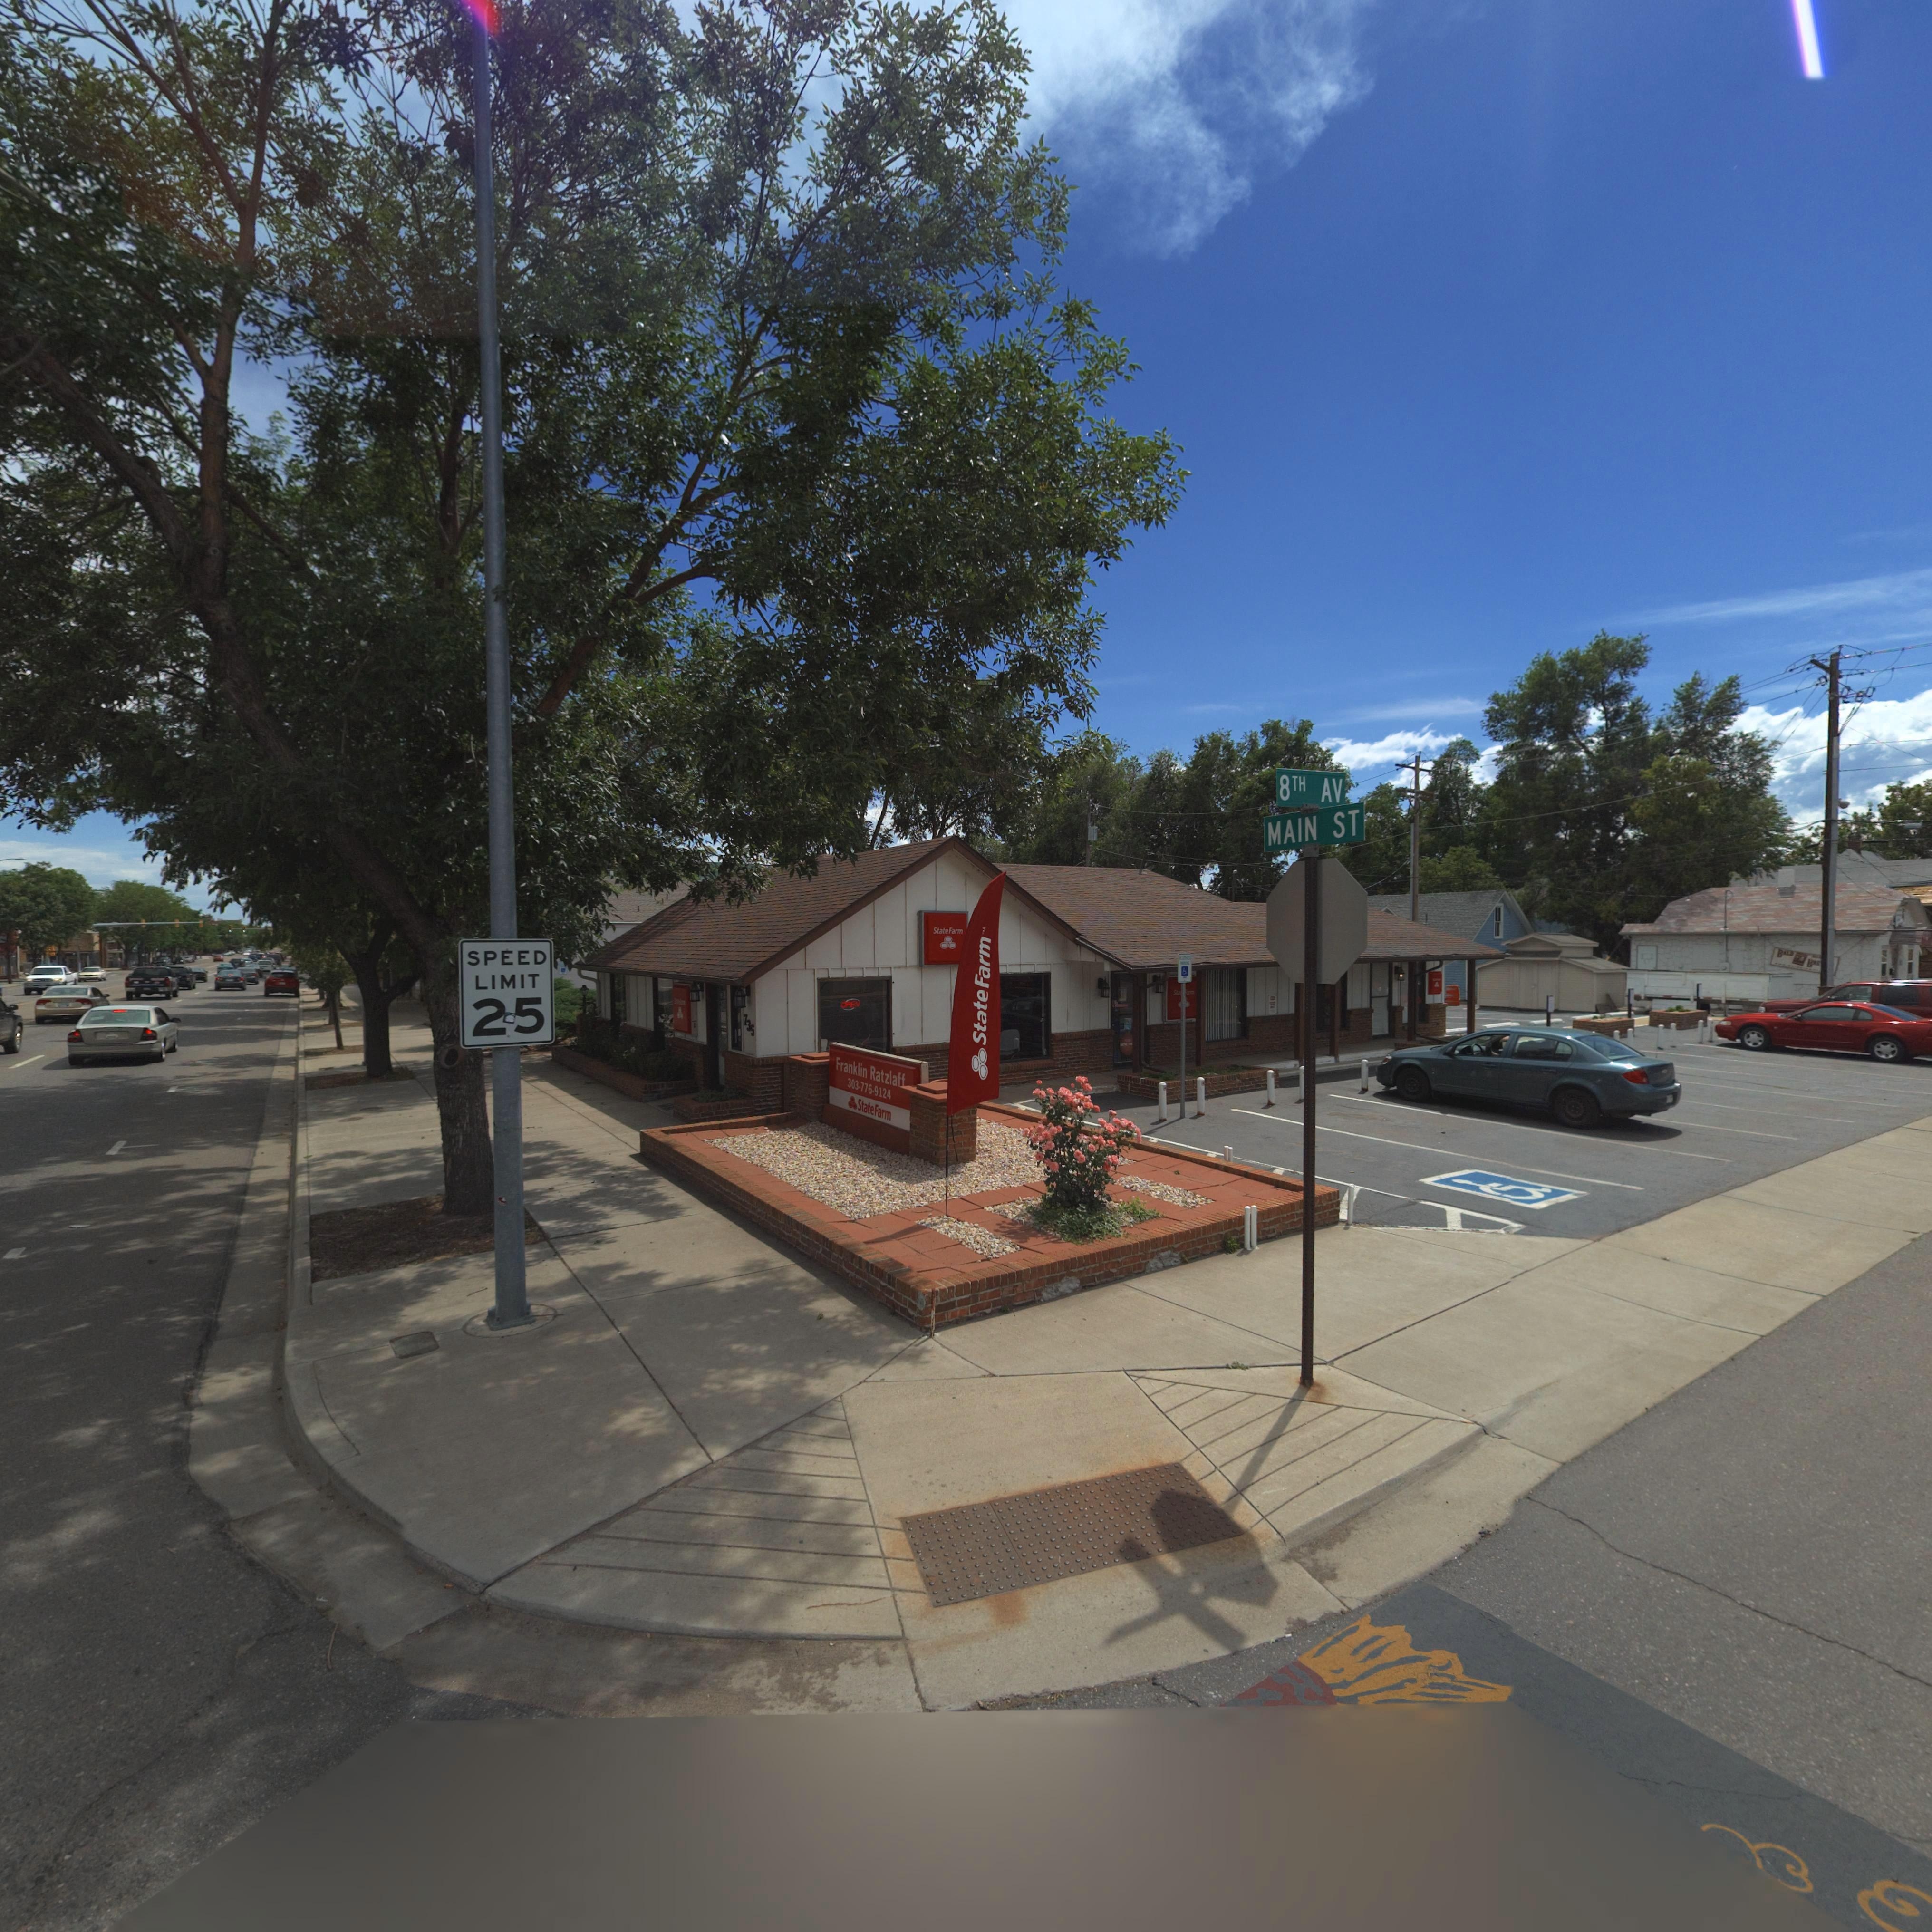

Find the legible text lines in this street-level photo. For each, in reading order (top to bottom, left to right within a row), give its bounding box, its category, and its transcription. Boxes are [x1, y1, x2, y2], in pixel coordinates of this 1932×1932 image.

[1279, 774, 1343, 803] StreetName: 8TH AV
[1267, 808, 1360, 846] StreetName: MAIN ST
[932, 927, 963, 934] BusinessName: StateFarm
[1777, 948, 1795, 957] BusinessName: BALD
[1806, 957, 1820, 968] BusinessName: BRE
[673, 997, 686, 1005] BusinessName: S********
[972, 935, 991, 1045] BusinessName: StateFarm
[1172, 988, 1194, 996] BusinessName: Sta***arm
[743, 1013, 754, 1037] StreetNumber: 735
[857, 1098, 891, 1121] BusinessName: StateFarm